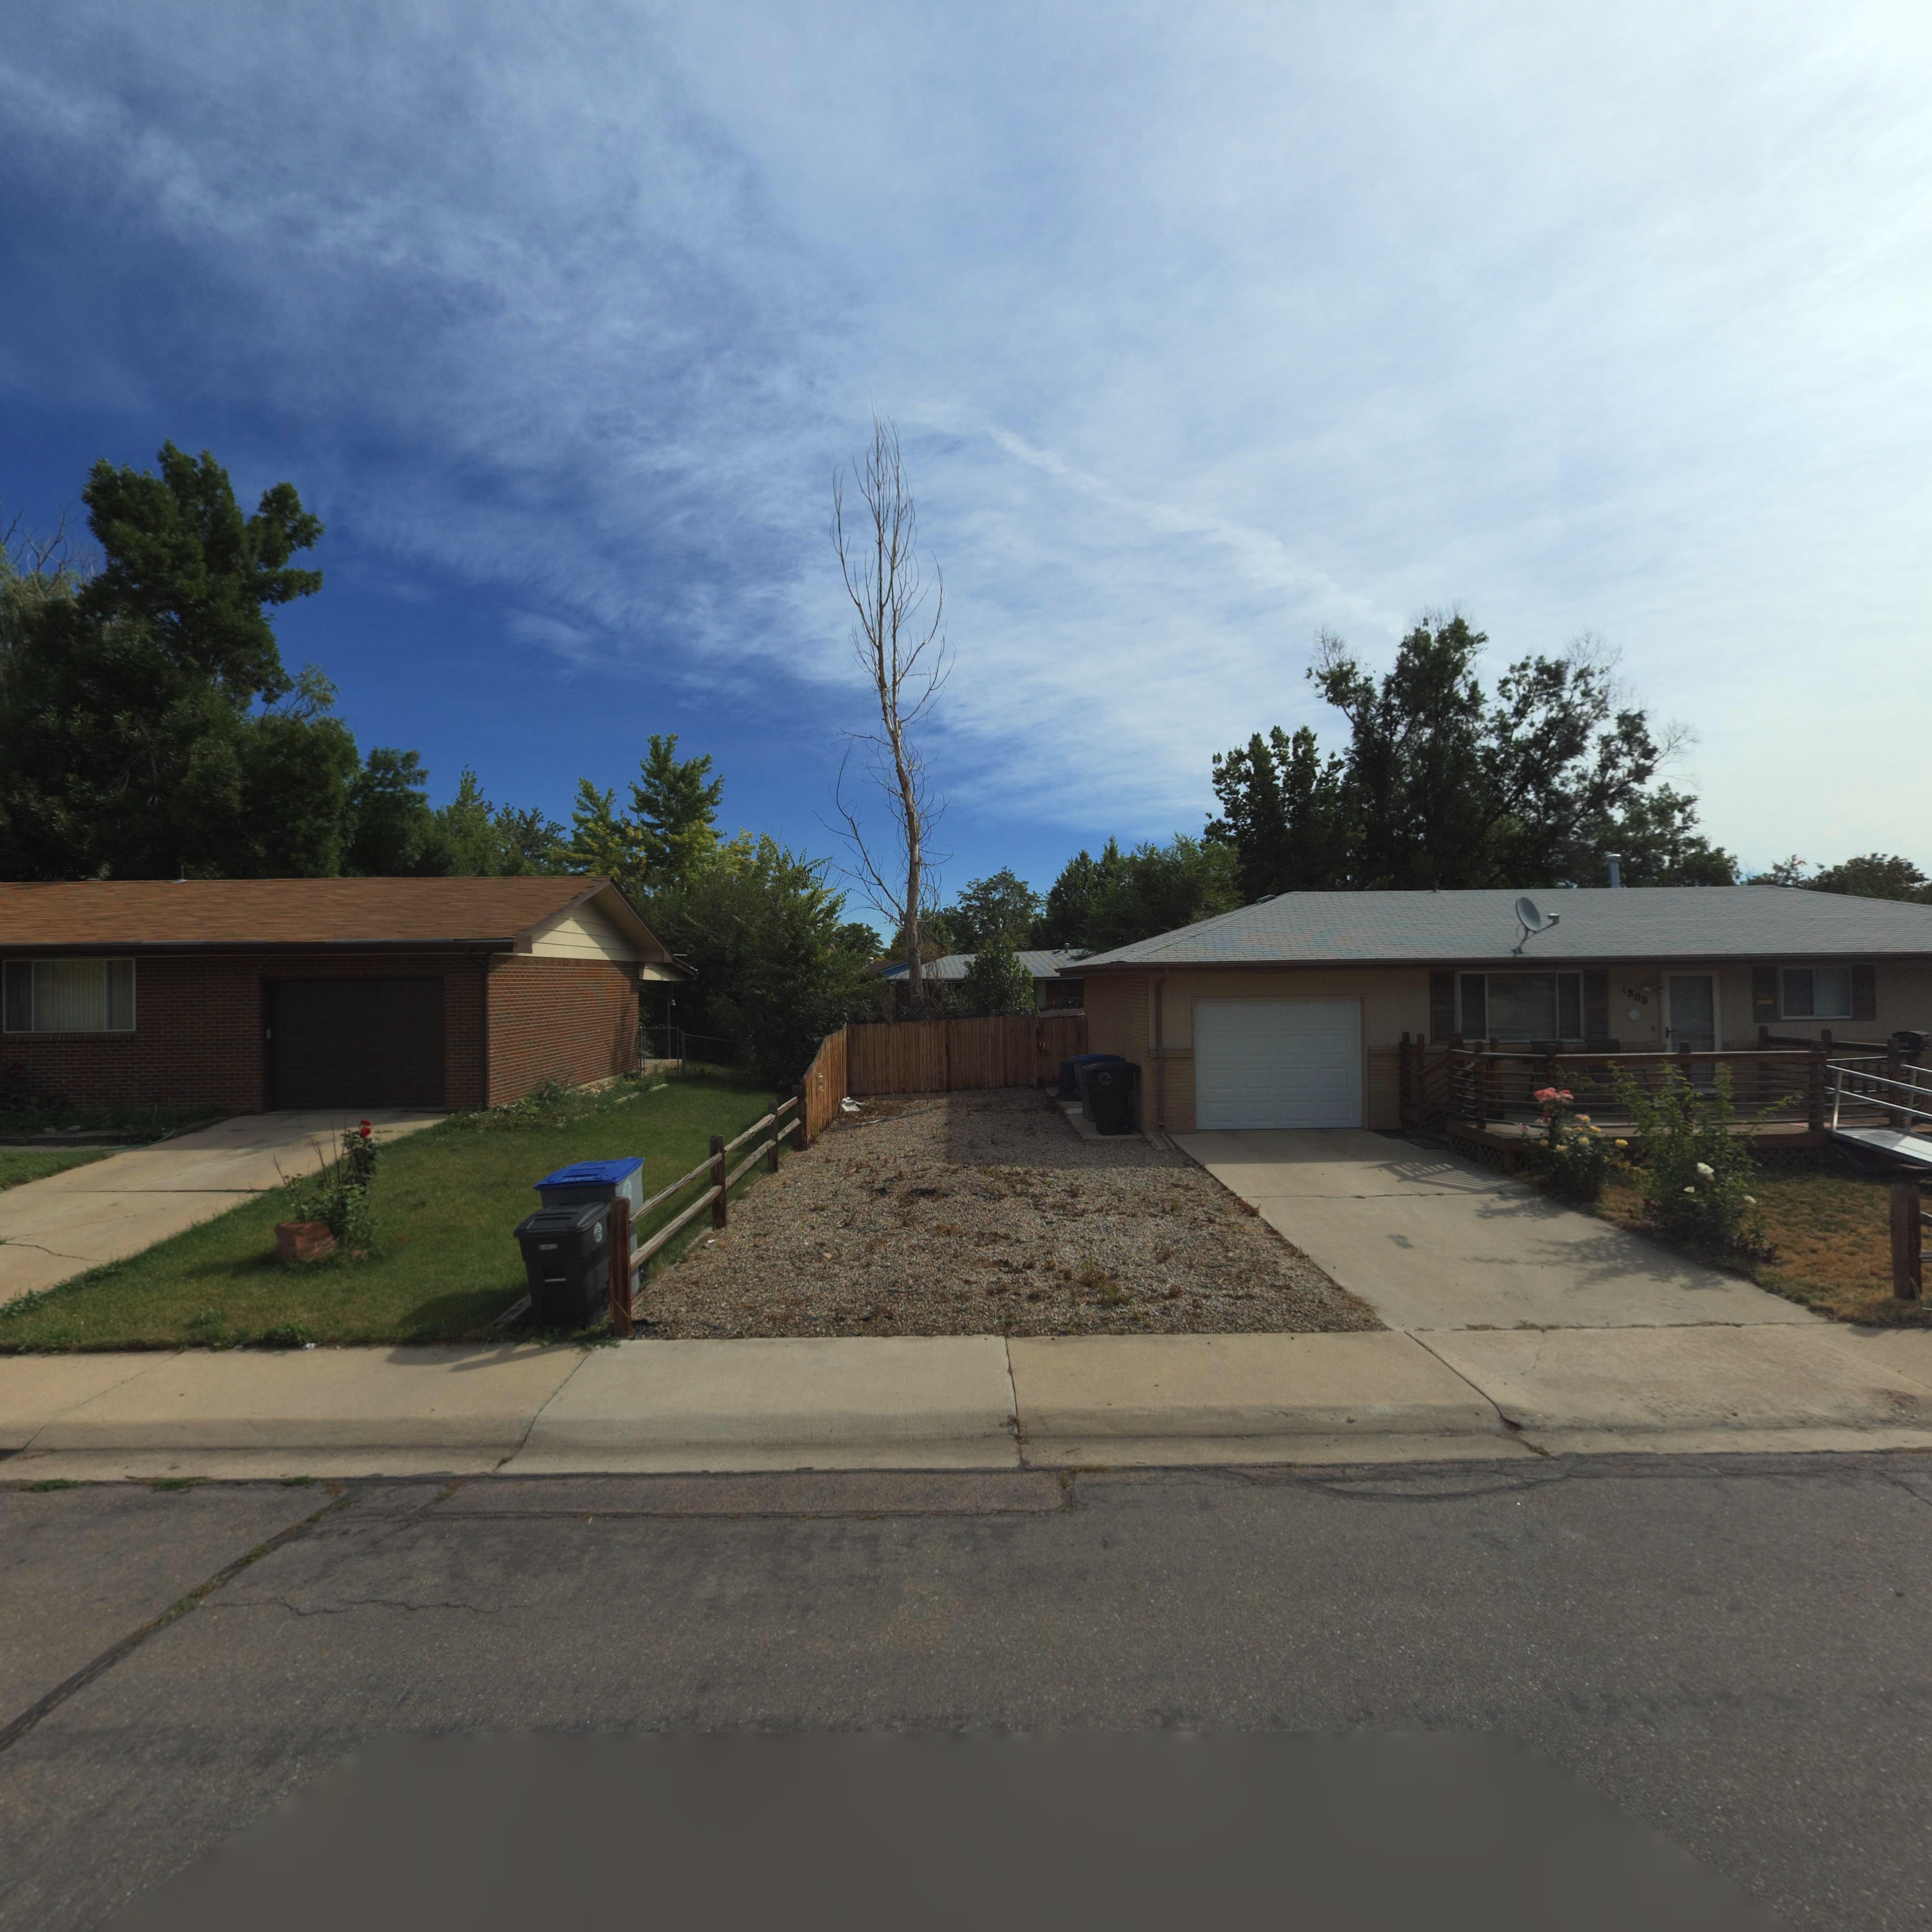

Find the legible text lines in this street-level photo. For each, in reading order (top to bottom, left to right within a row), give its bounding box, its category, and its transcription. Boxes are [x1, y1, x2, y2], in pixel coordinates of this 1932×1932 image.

[1622, 984, 1648, 1005] StreetNumber: 1800